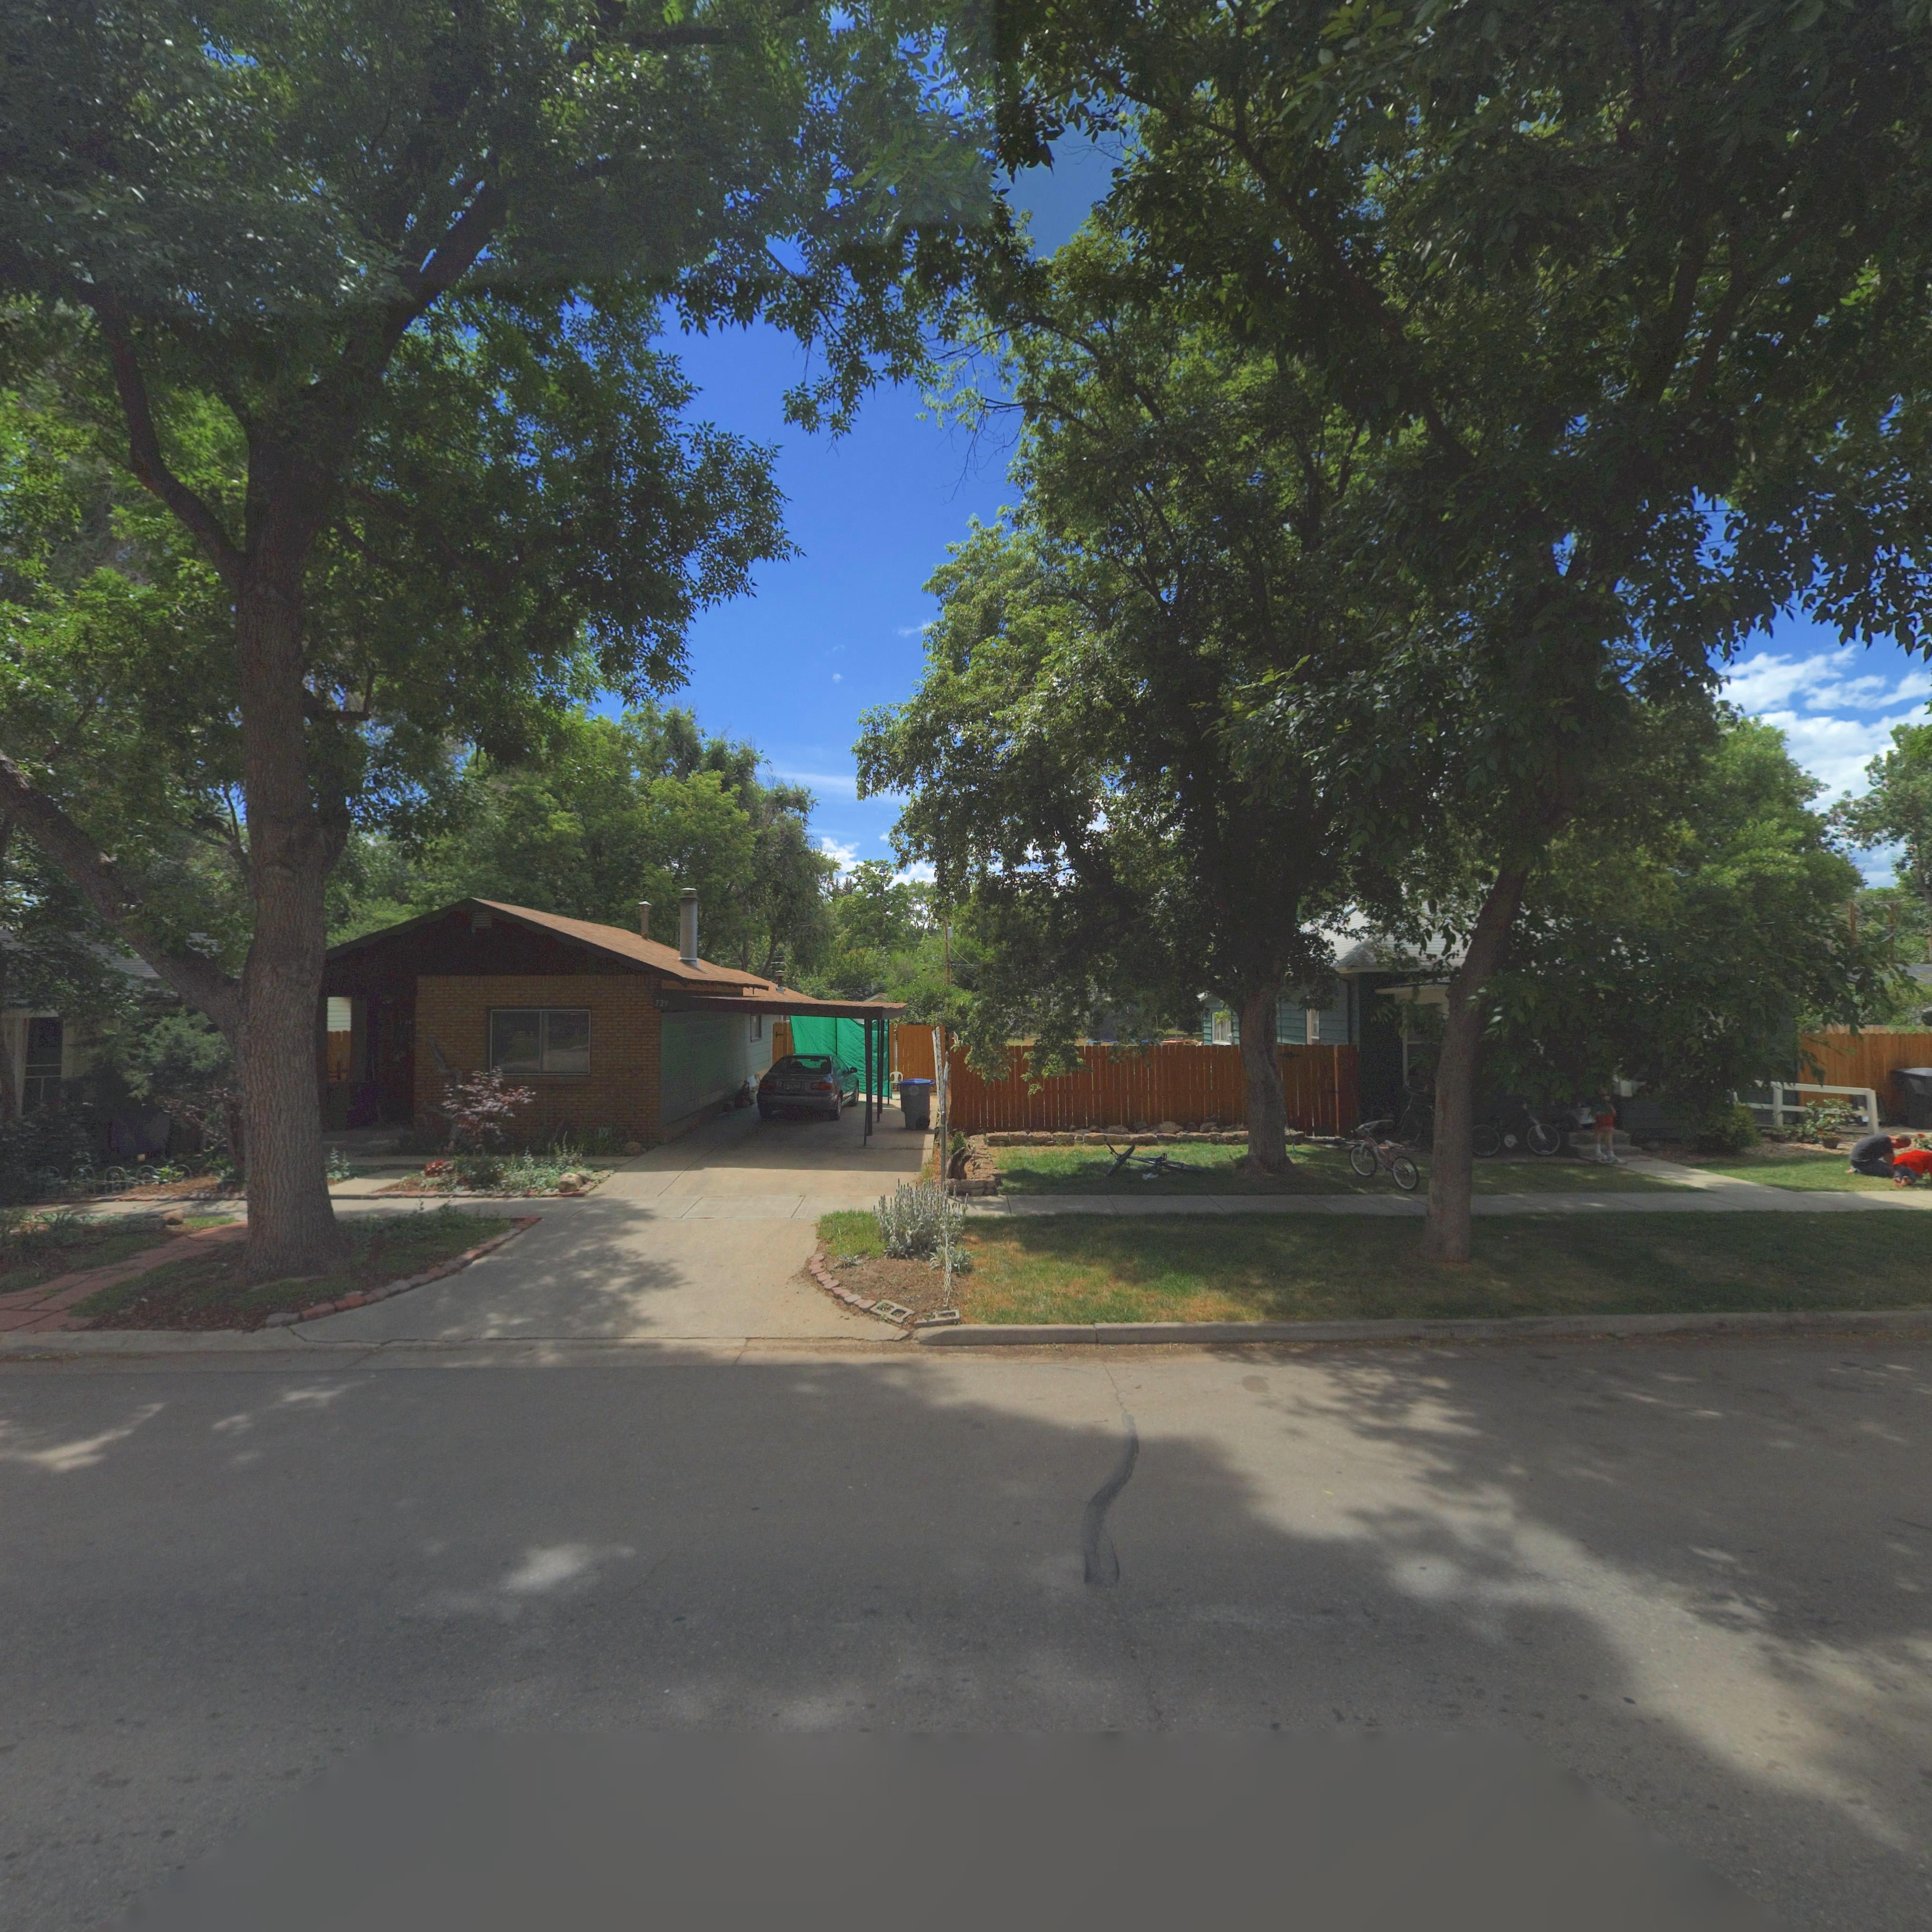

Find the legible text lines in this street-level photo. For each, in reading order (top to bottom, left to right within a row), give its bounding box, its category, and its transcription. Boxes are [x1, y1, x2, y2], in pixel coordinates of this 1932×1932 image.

[654, 999, 668, 1007] StreetNumber: 729